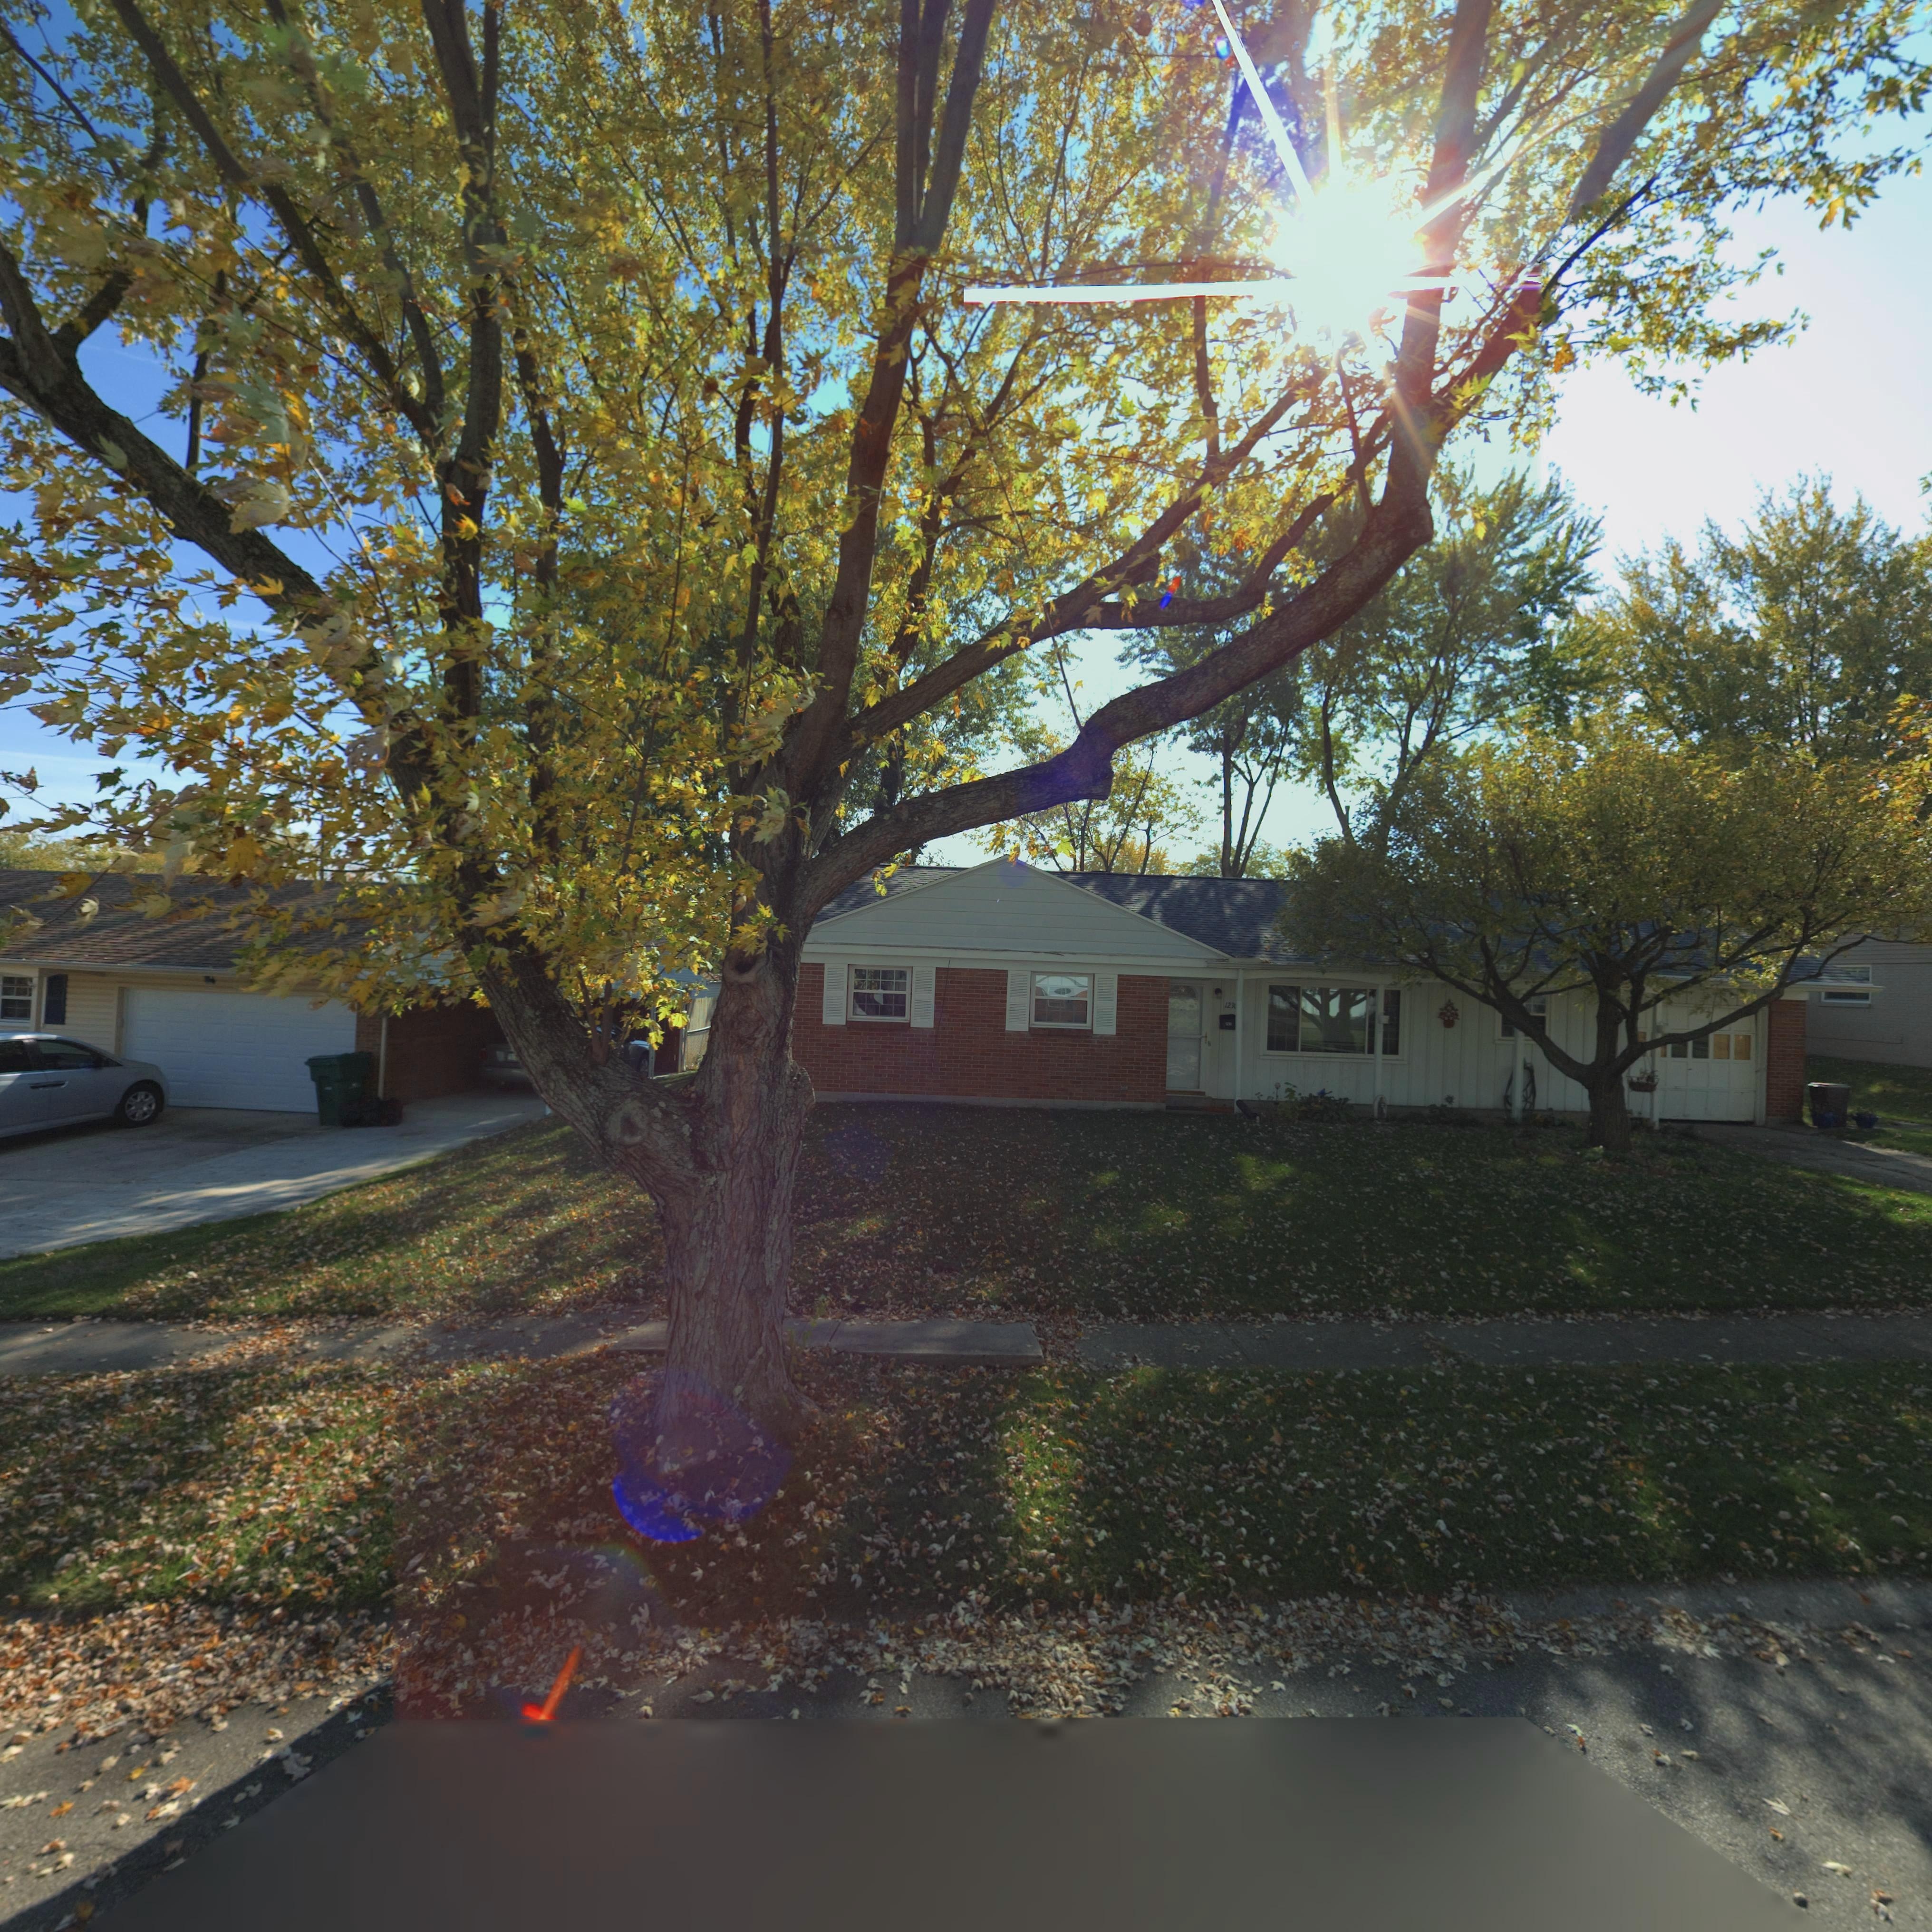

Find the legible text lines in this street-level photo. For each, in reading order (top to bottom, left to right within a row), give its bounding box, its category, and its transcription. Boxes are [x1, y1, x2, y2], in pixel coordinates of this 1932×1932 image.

[1224, 1002, 1236, 1009] StreetNumber: 123*